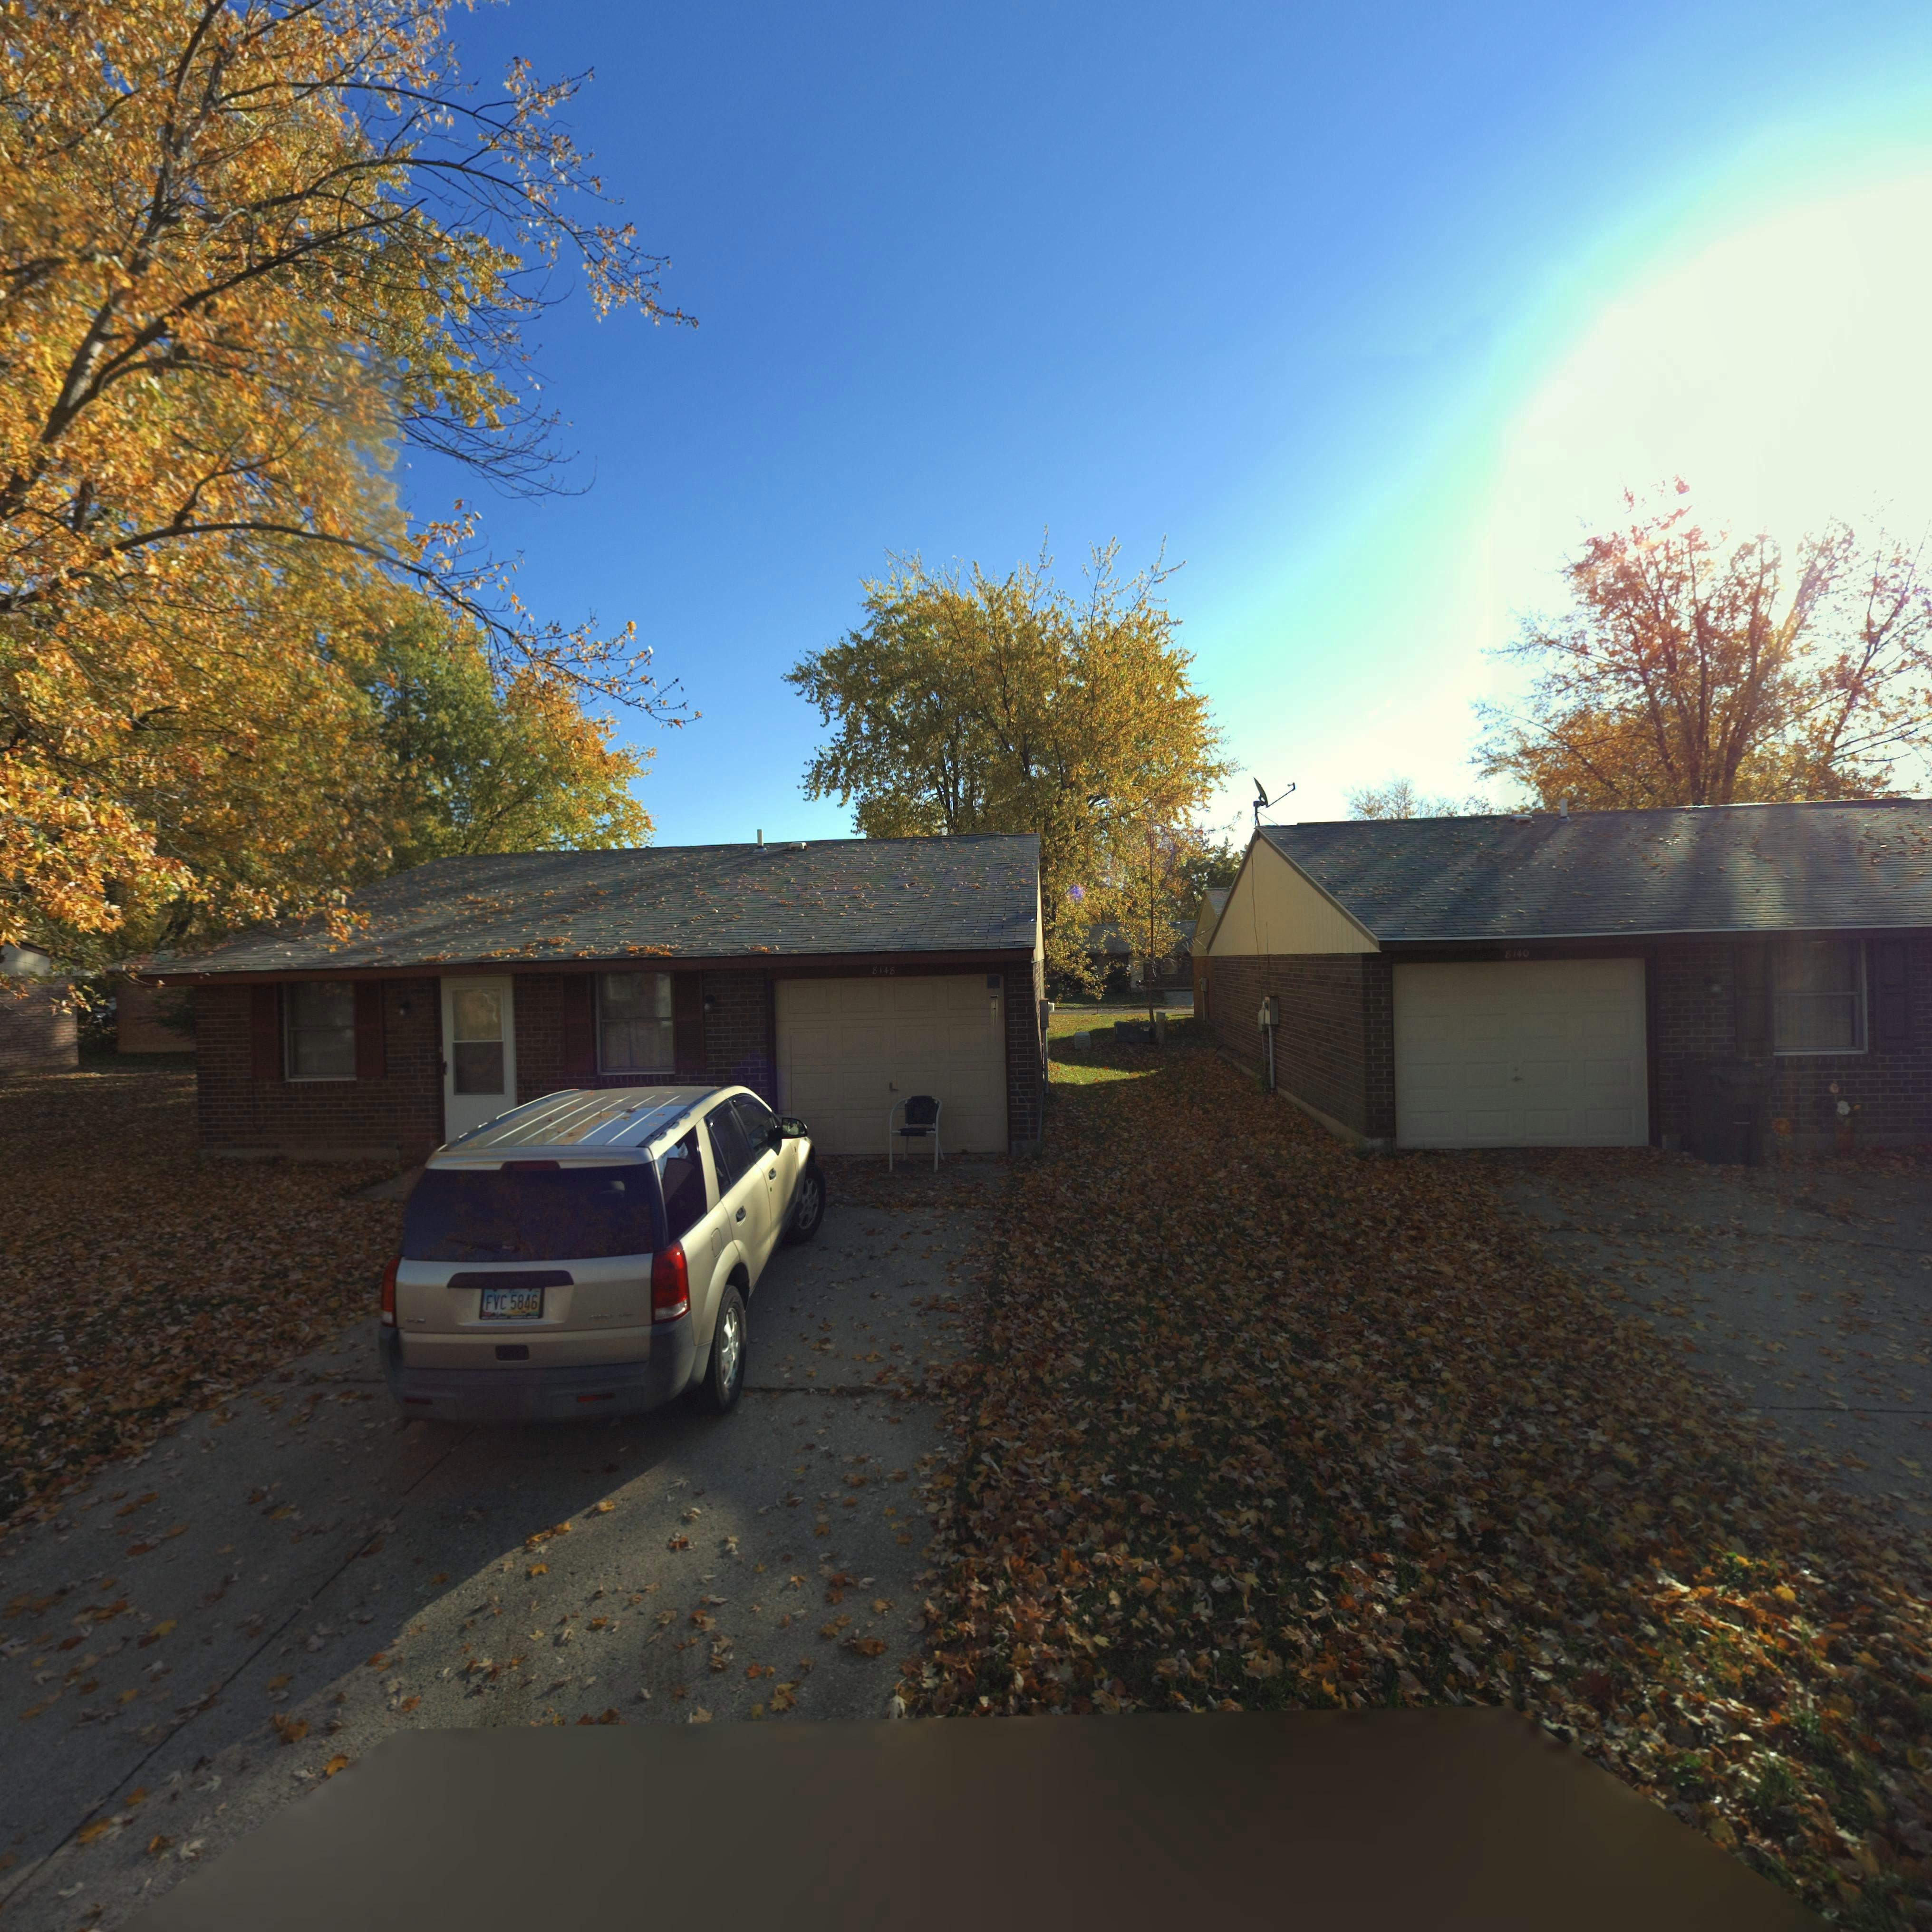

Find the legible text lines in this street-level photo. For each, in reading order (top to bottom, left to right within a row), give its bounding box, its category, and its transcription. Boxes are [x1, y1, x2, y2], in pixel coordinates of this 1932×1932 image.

[1504, 947, 1530, 959] StreetNumber: 8140
[871, 966, 896, 976] StreetNumber: 8148